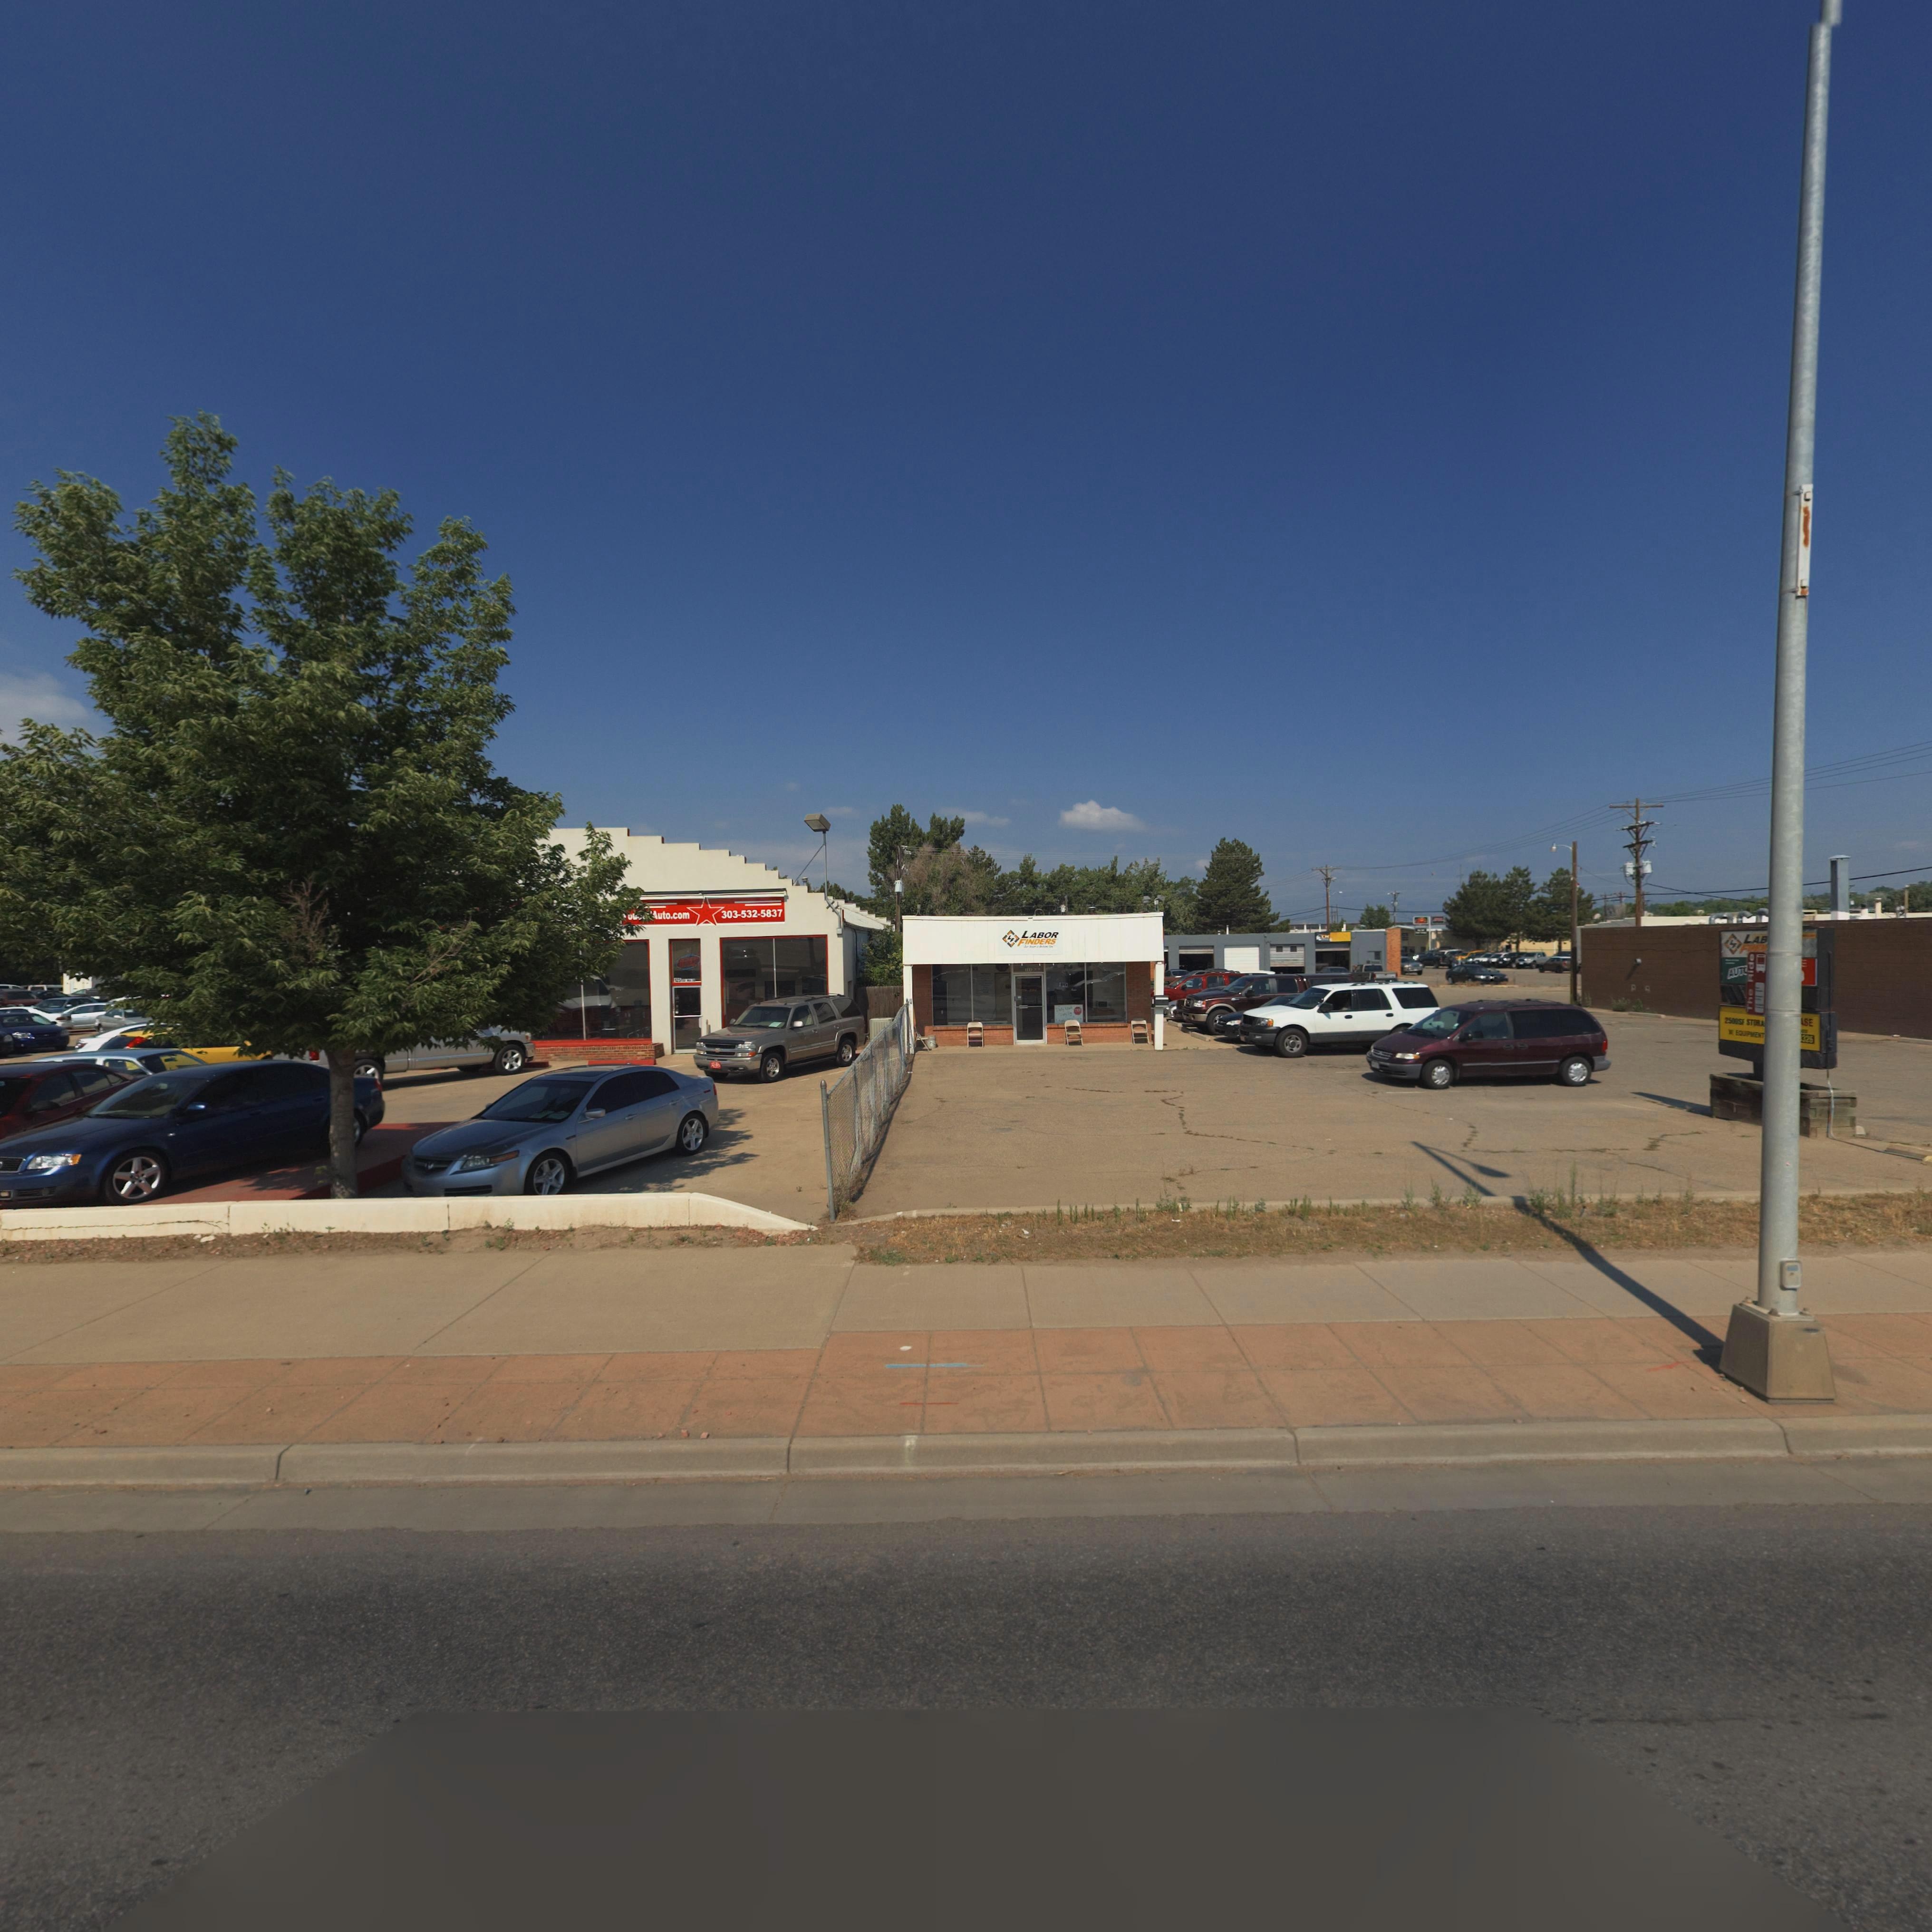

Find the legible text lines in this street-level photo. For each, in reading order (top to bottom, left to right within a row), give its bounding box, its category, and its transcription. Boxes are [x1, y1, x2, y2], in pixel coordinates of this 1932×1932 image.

[1021, 930, 1059, 938] BusinessName: LABOR
[1016, 938, 1056, 947] BusinessName: FINDERS
[1743, 934, 1768, 944] BusinessName: LAB
[1739, 944, 1767, 954] BusinessName: F****
[1025, 968, 1031, 971] StreetNumber: 111
[674, 978, 681, 982] StreetNumber: 125